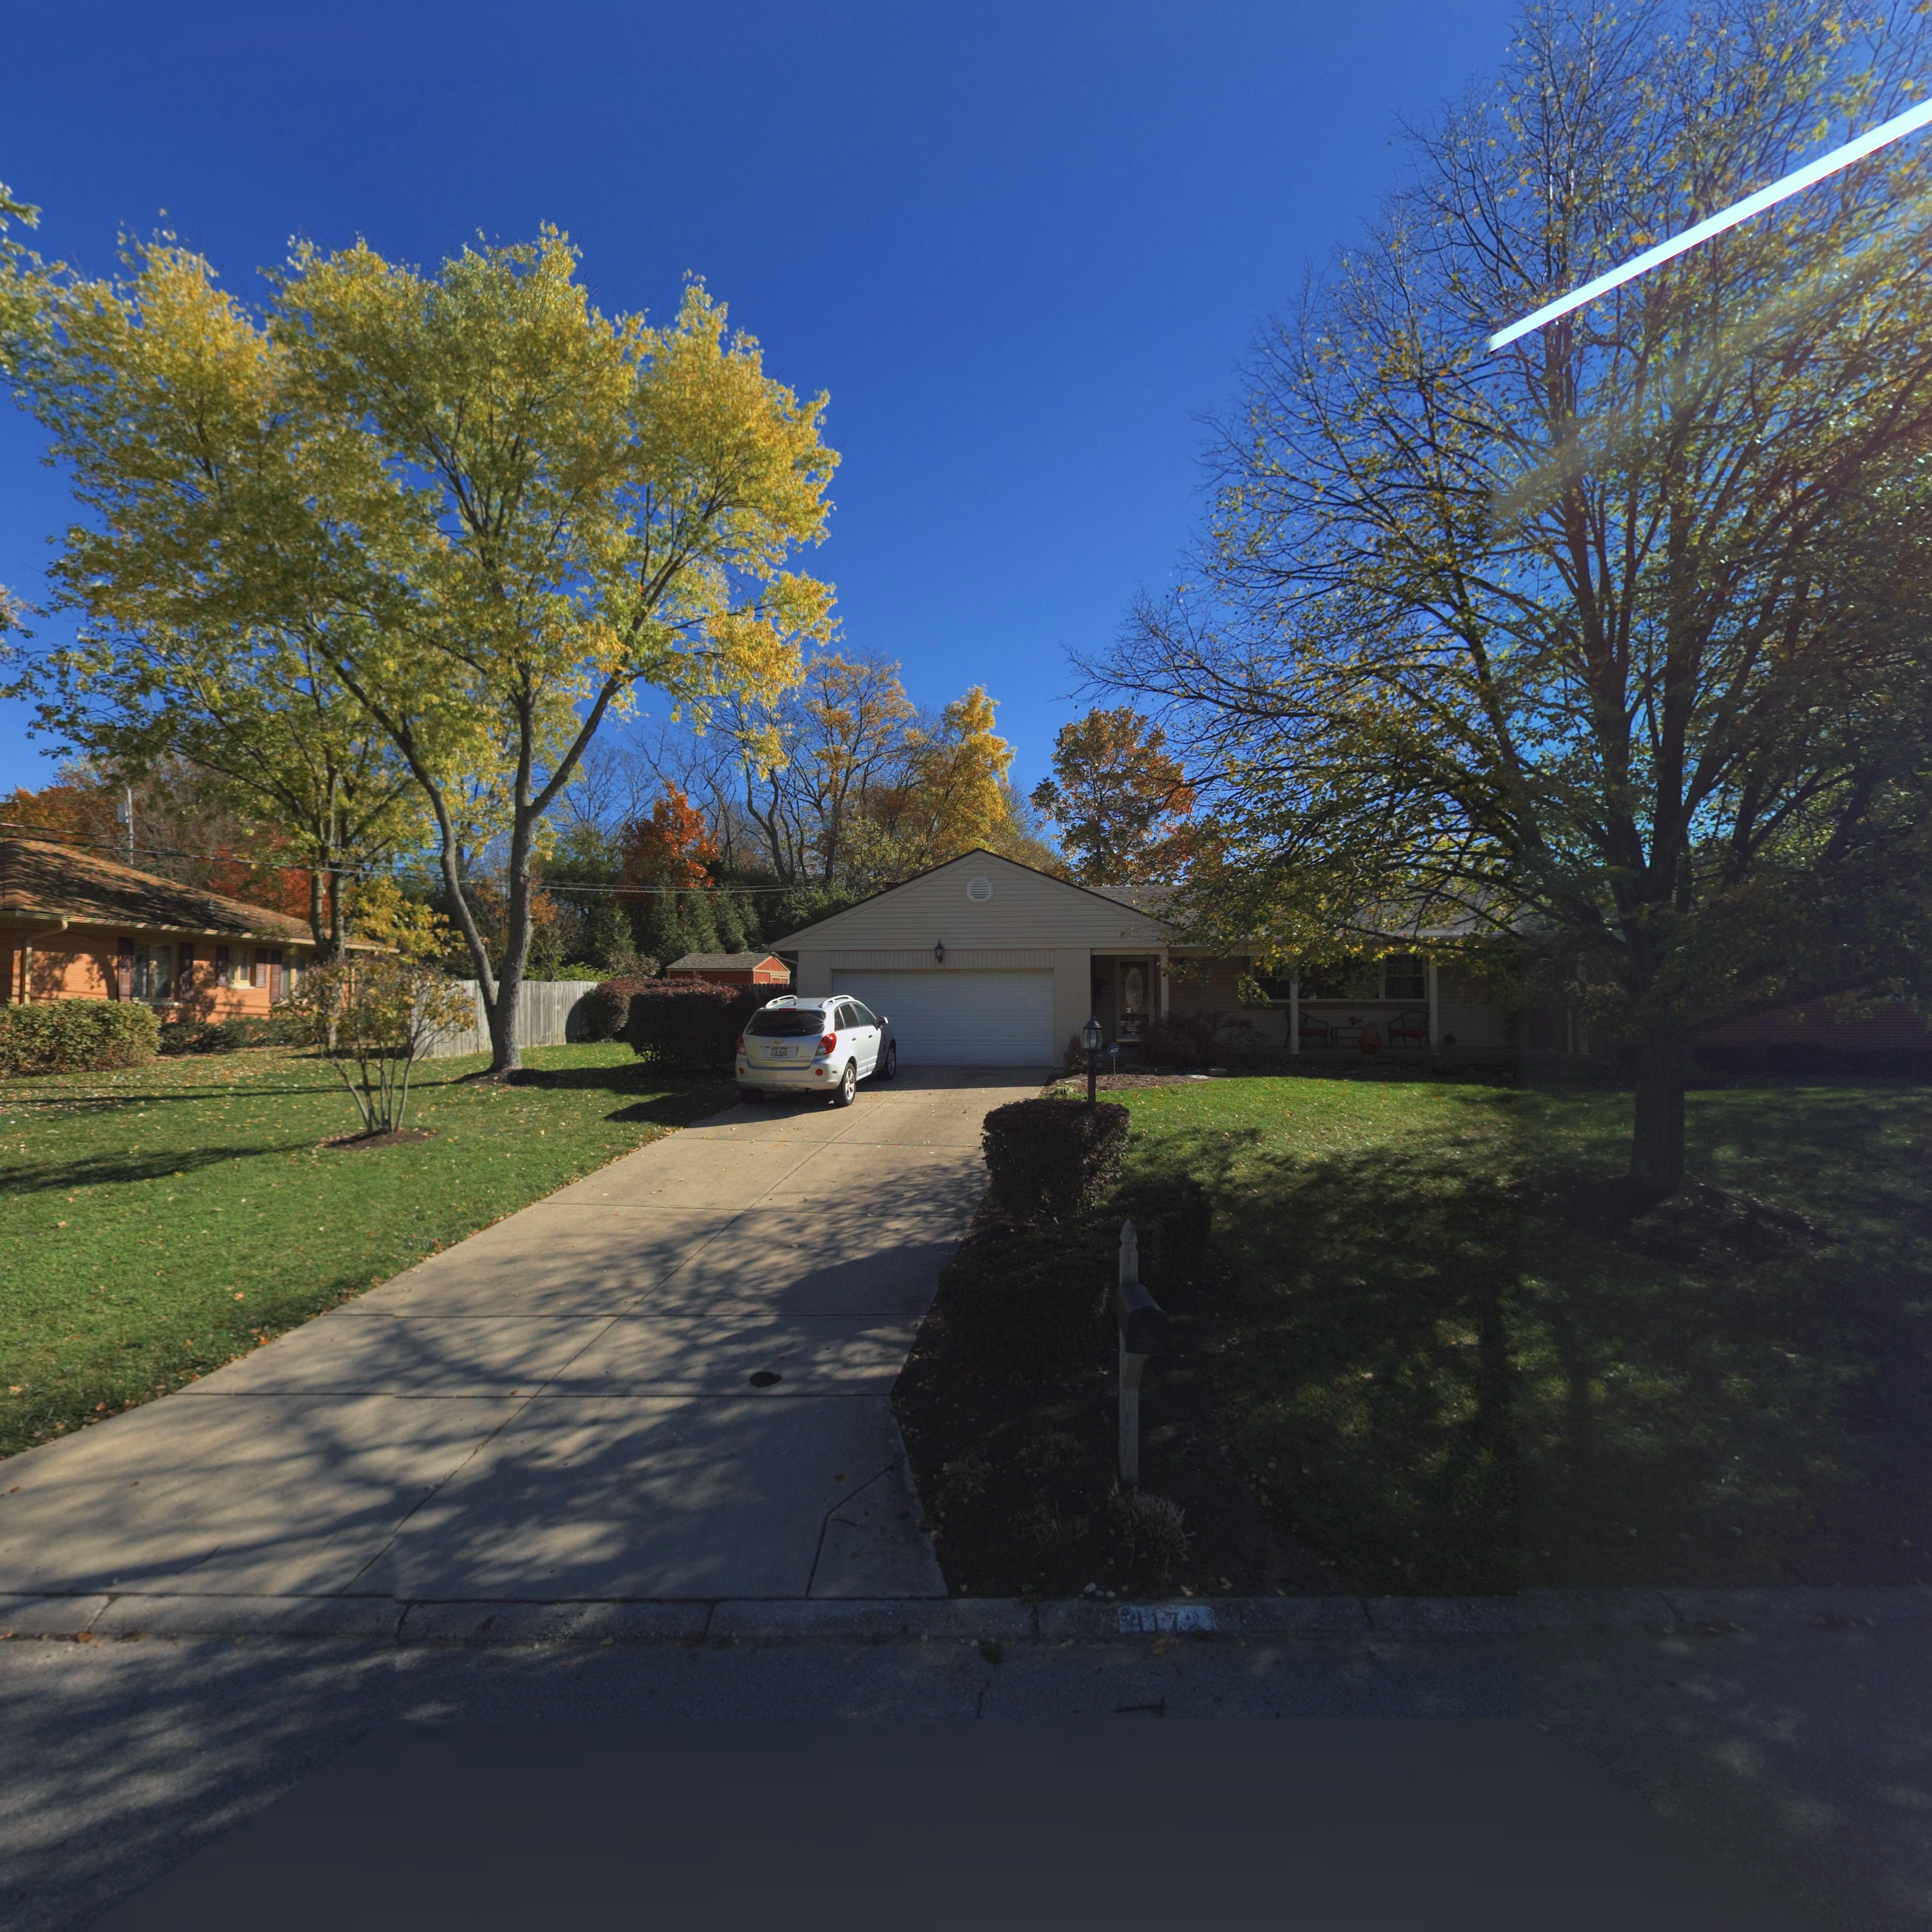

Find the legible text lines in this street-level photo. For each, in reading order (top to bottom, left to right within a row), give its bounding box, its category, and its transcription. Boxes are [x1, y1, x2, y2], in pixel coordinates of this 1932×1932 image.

[1129, 1609, 1203, 1633] StreetNumber: 417*